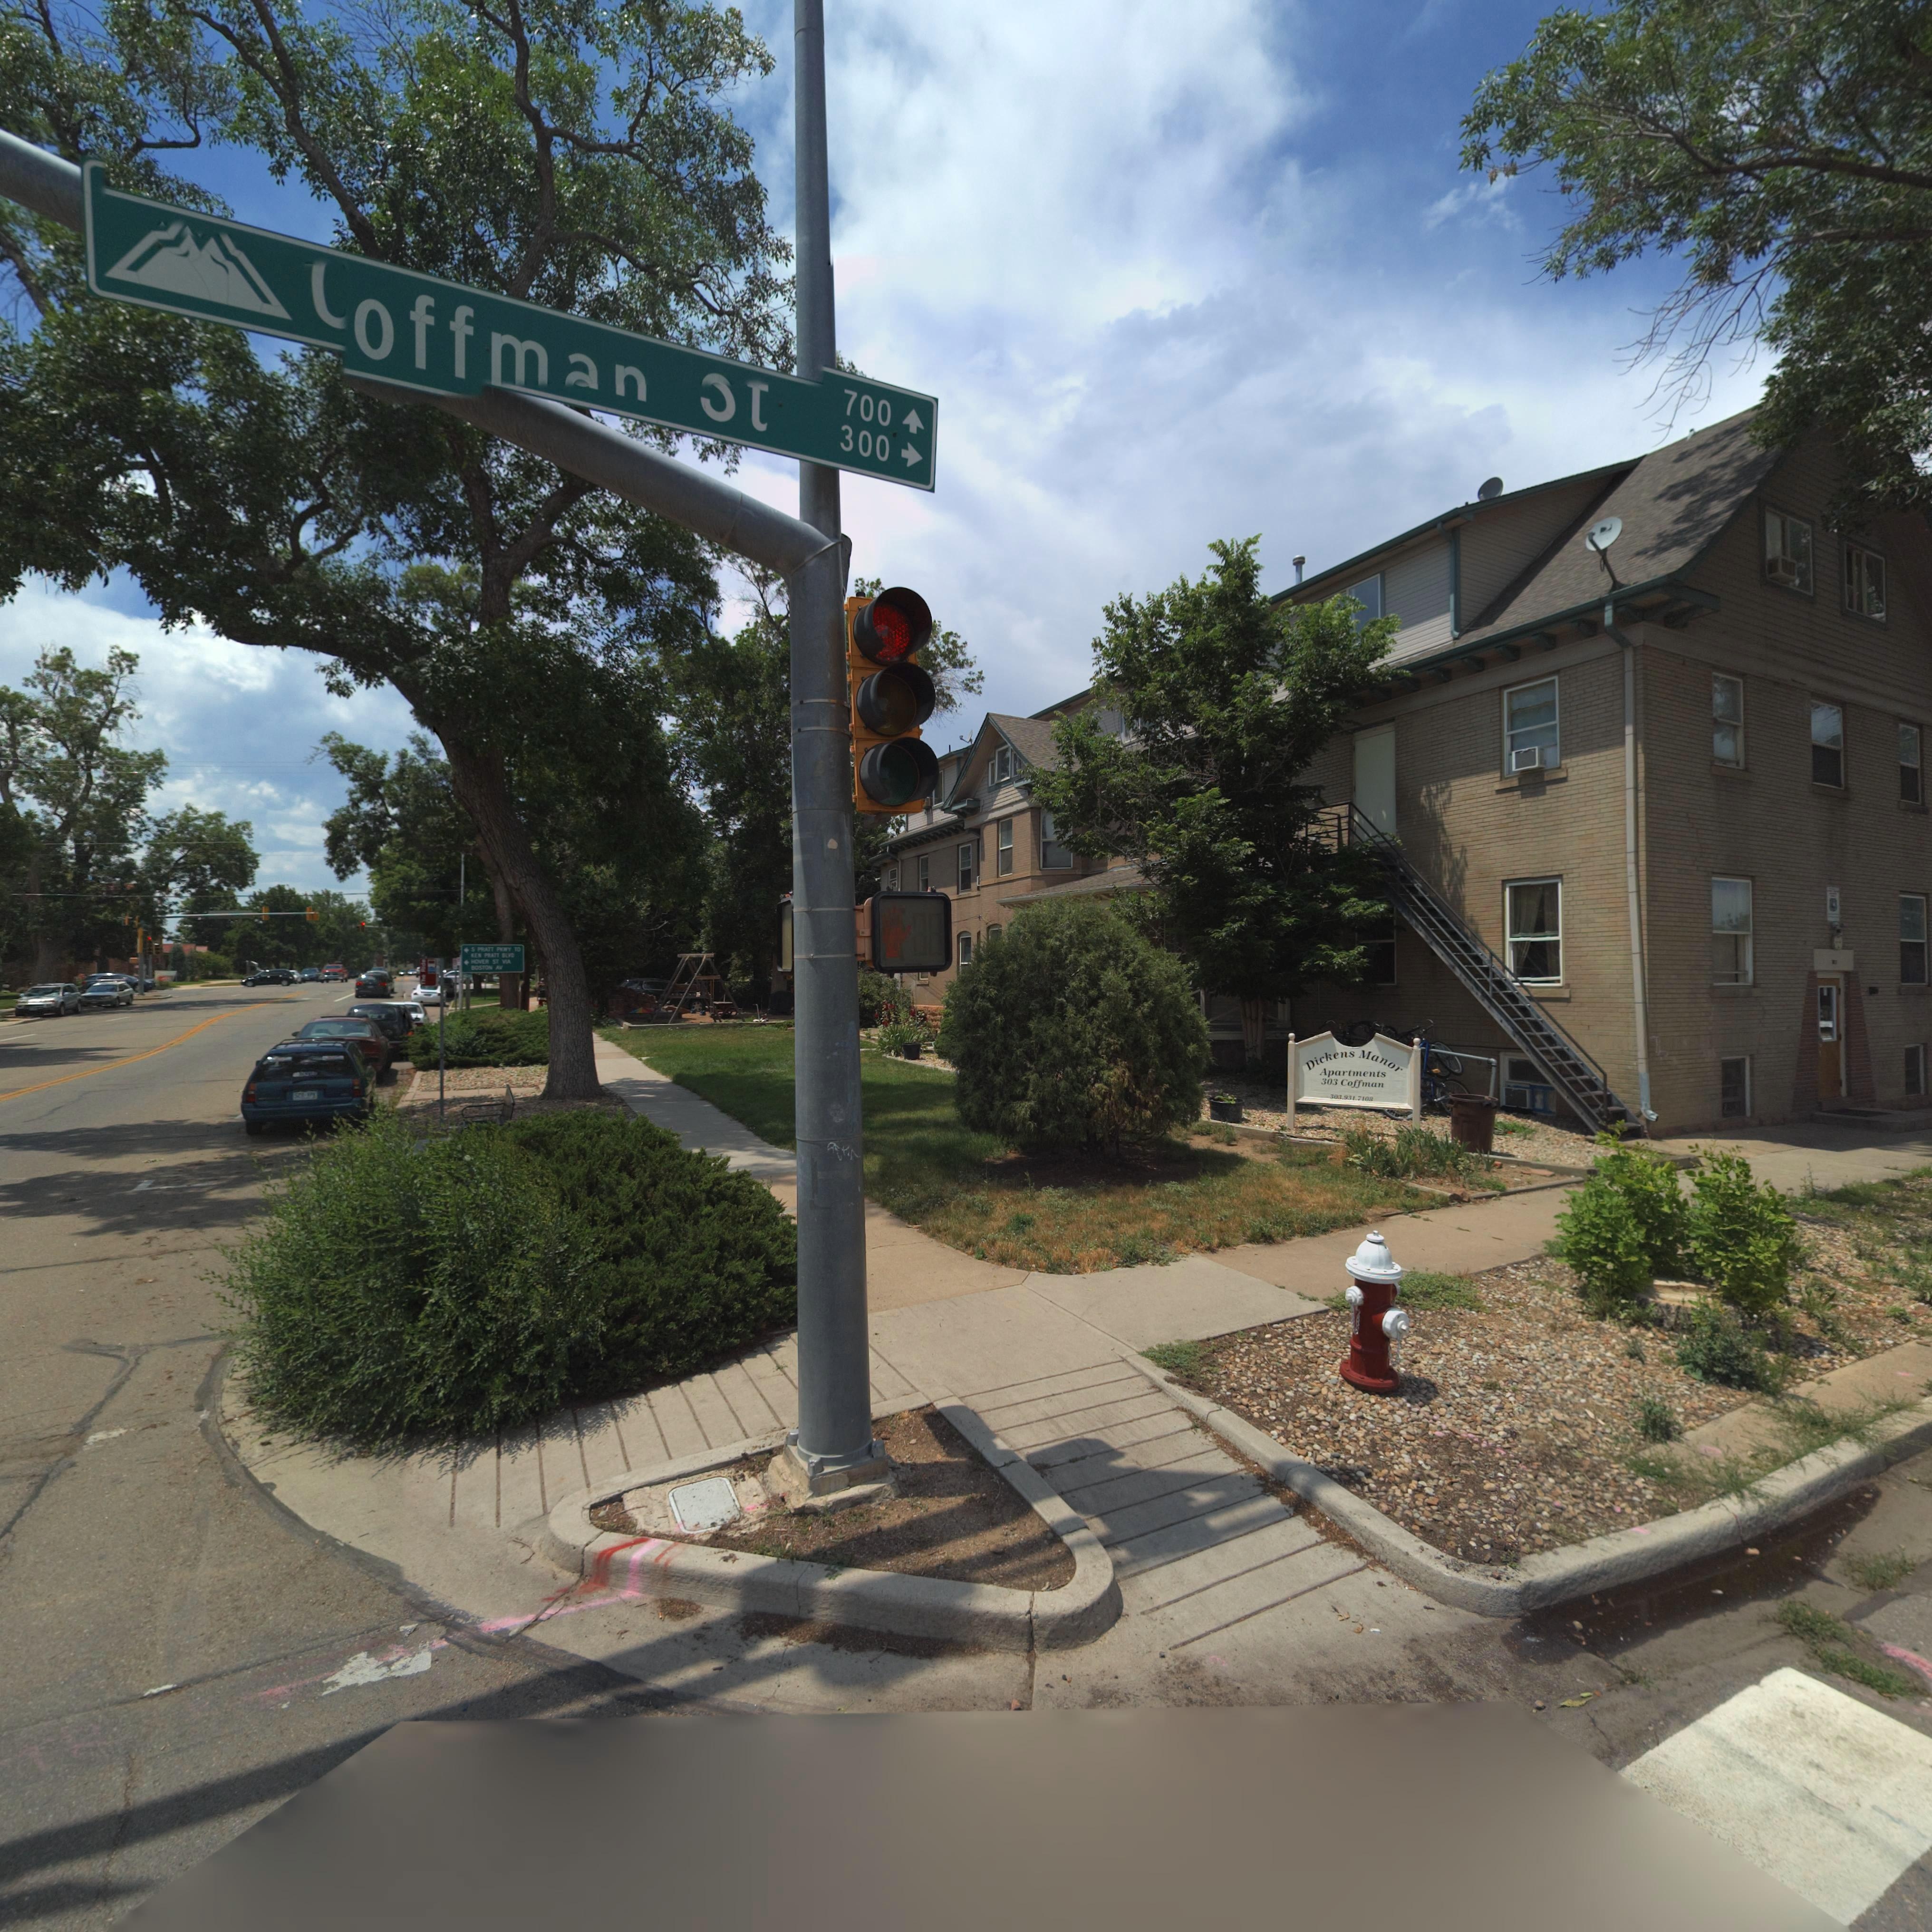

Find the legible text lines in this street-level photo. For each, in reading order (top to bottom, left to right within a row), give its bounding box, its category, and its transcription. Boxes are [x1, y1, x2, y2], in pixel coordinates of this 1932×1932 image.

[347, 291, 548, 395] StreetName: offm
[842, 388, 892, 428] StreetNumberRange: 700
[839, 423, 925, 468] StreetNumberRange: 300->
[1304, 1049, 1403, 1072] BusinessName: Dickens Manor
[1320, 1077, 1338, 1085] StreetNumber: 303
[1318, 1067, 1386, 1078] BusinessName: Apartments
[1340, 1078, 1384, 1089] StreetName: Coffman